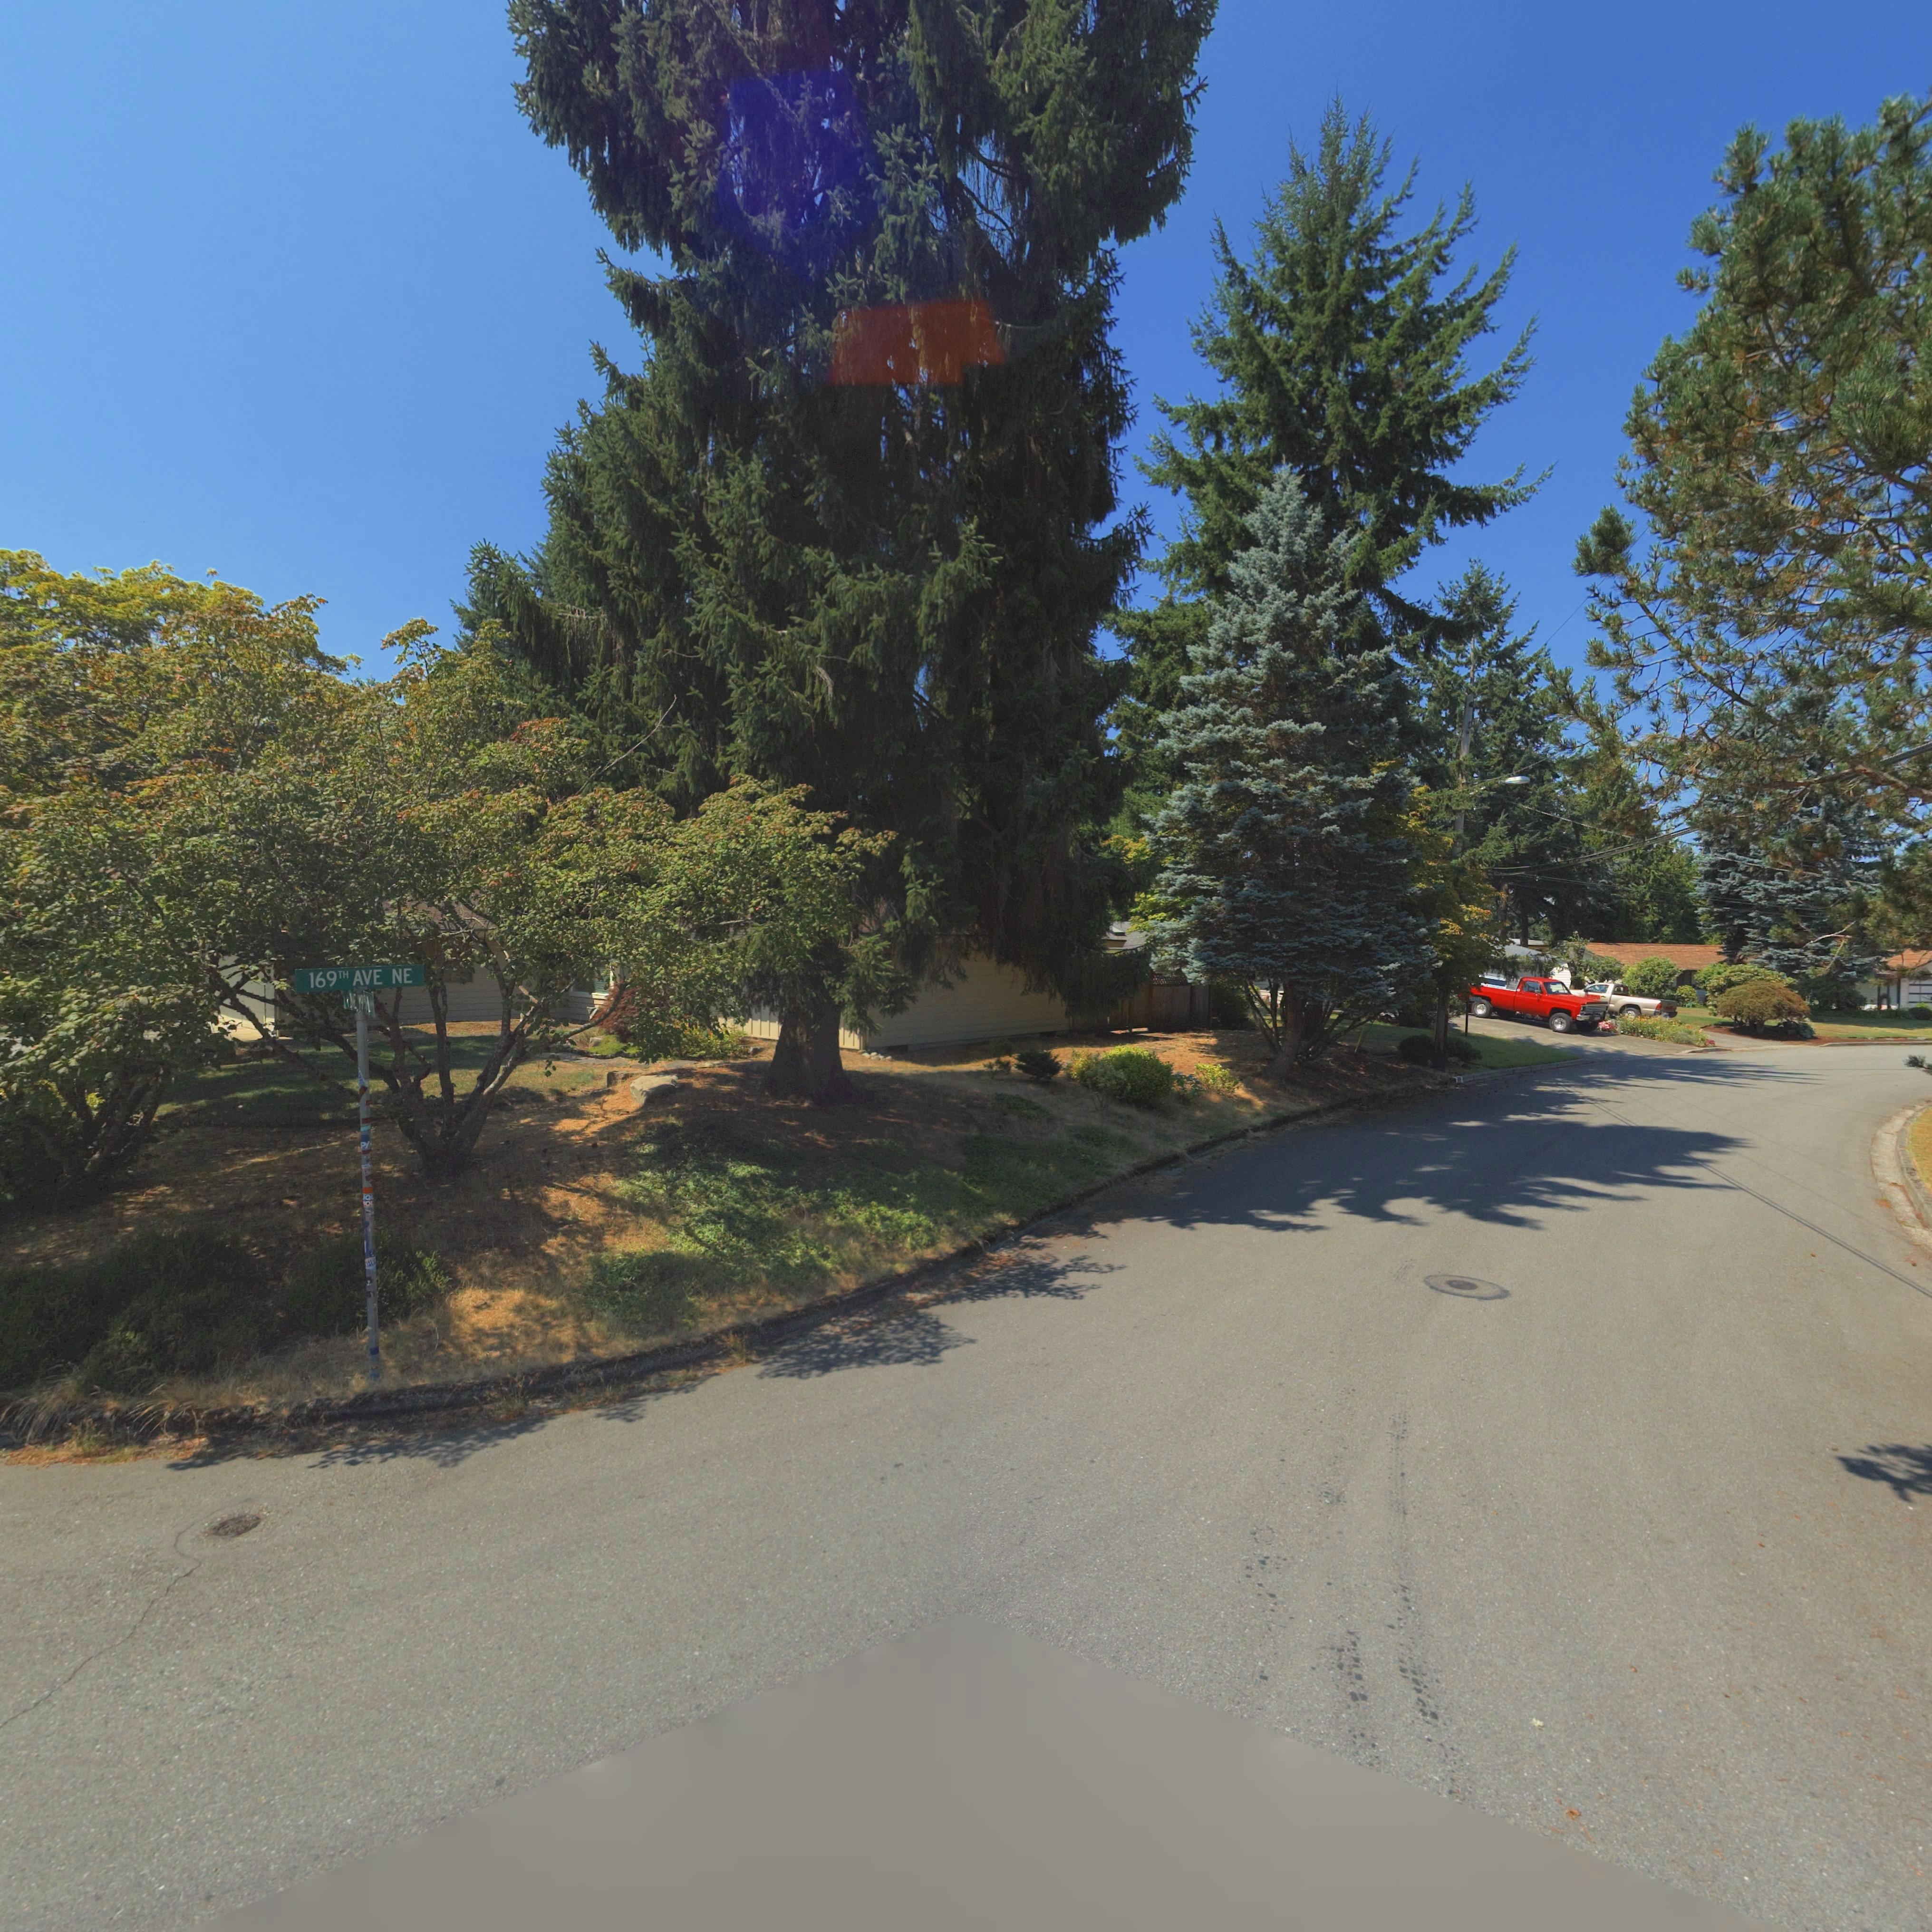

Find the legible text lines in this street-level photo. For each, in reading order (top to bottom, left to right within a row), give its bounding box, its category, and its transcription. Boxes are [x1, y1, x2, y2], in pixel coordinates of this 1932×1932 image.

[308, 968, 412, 988] StreetName: 169TH AVE NE